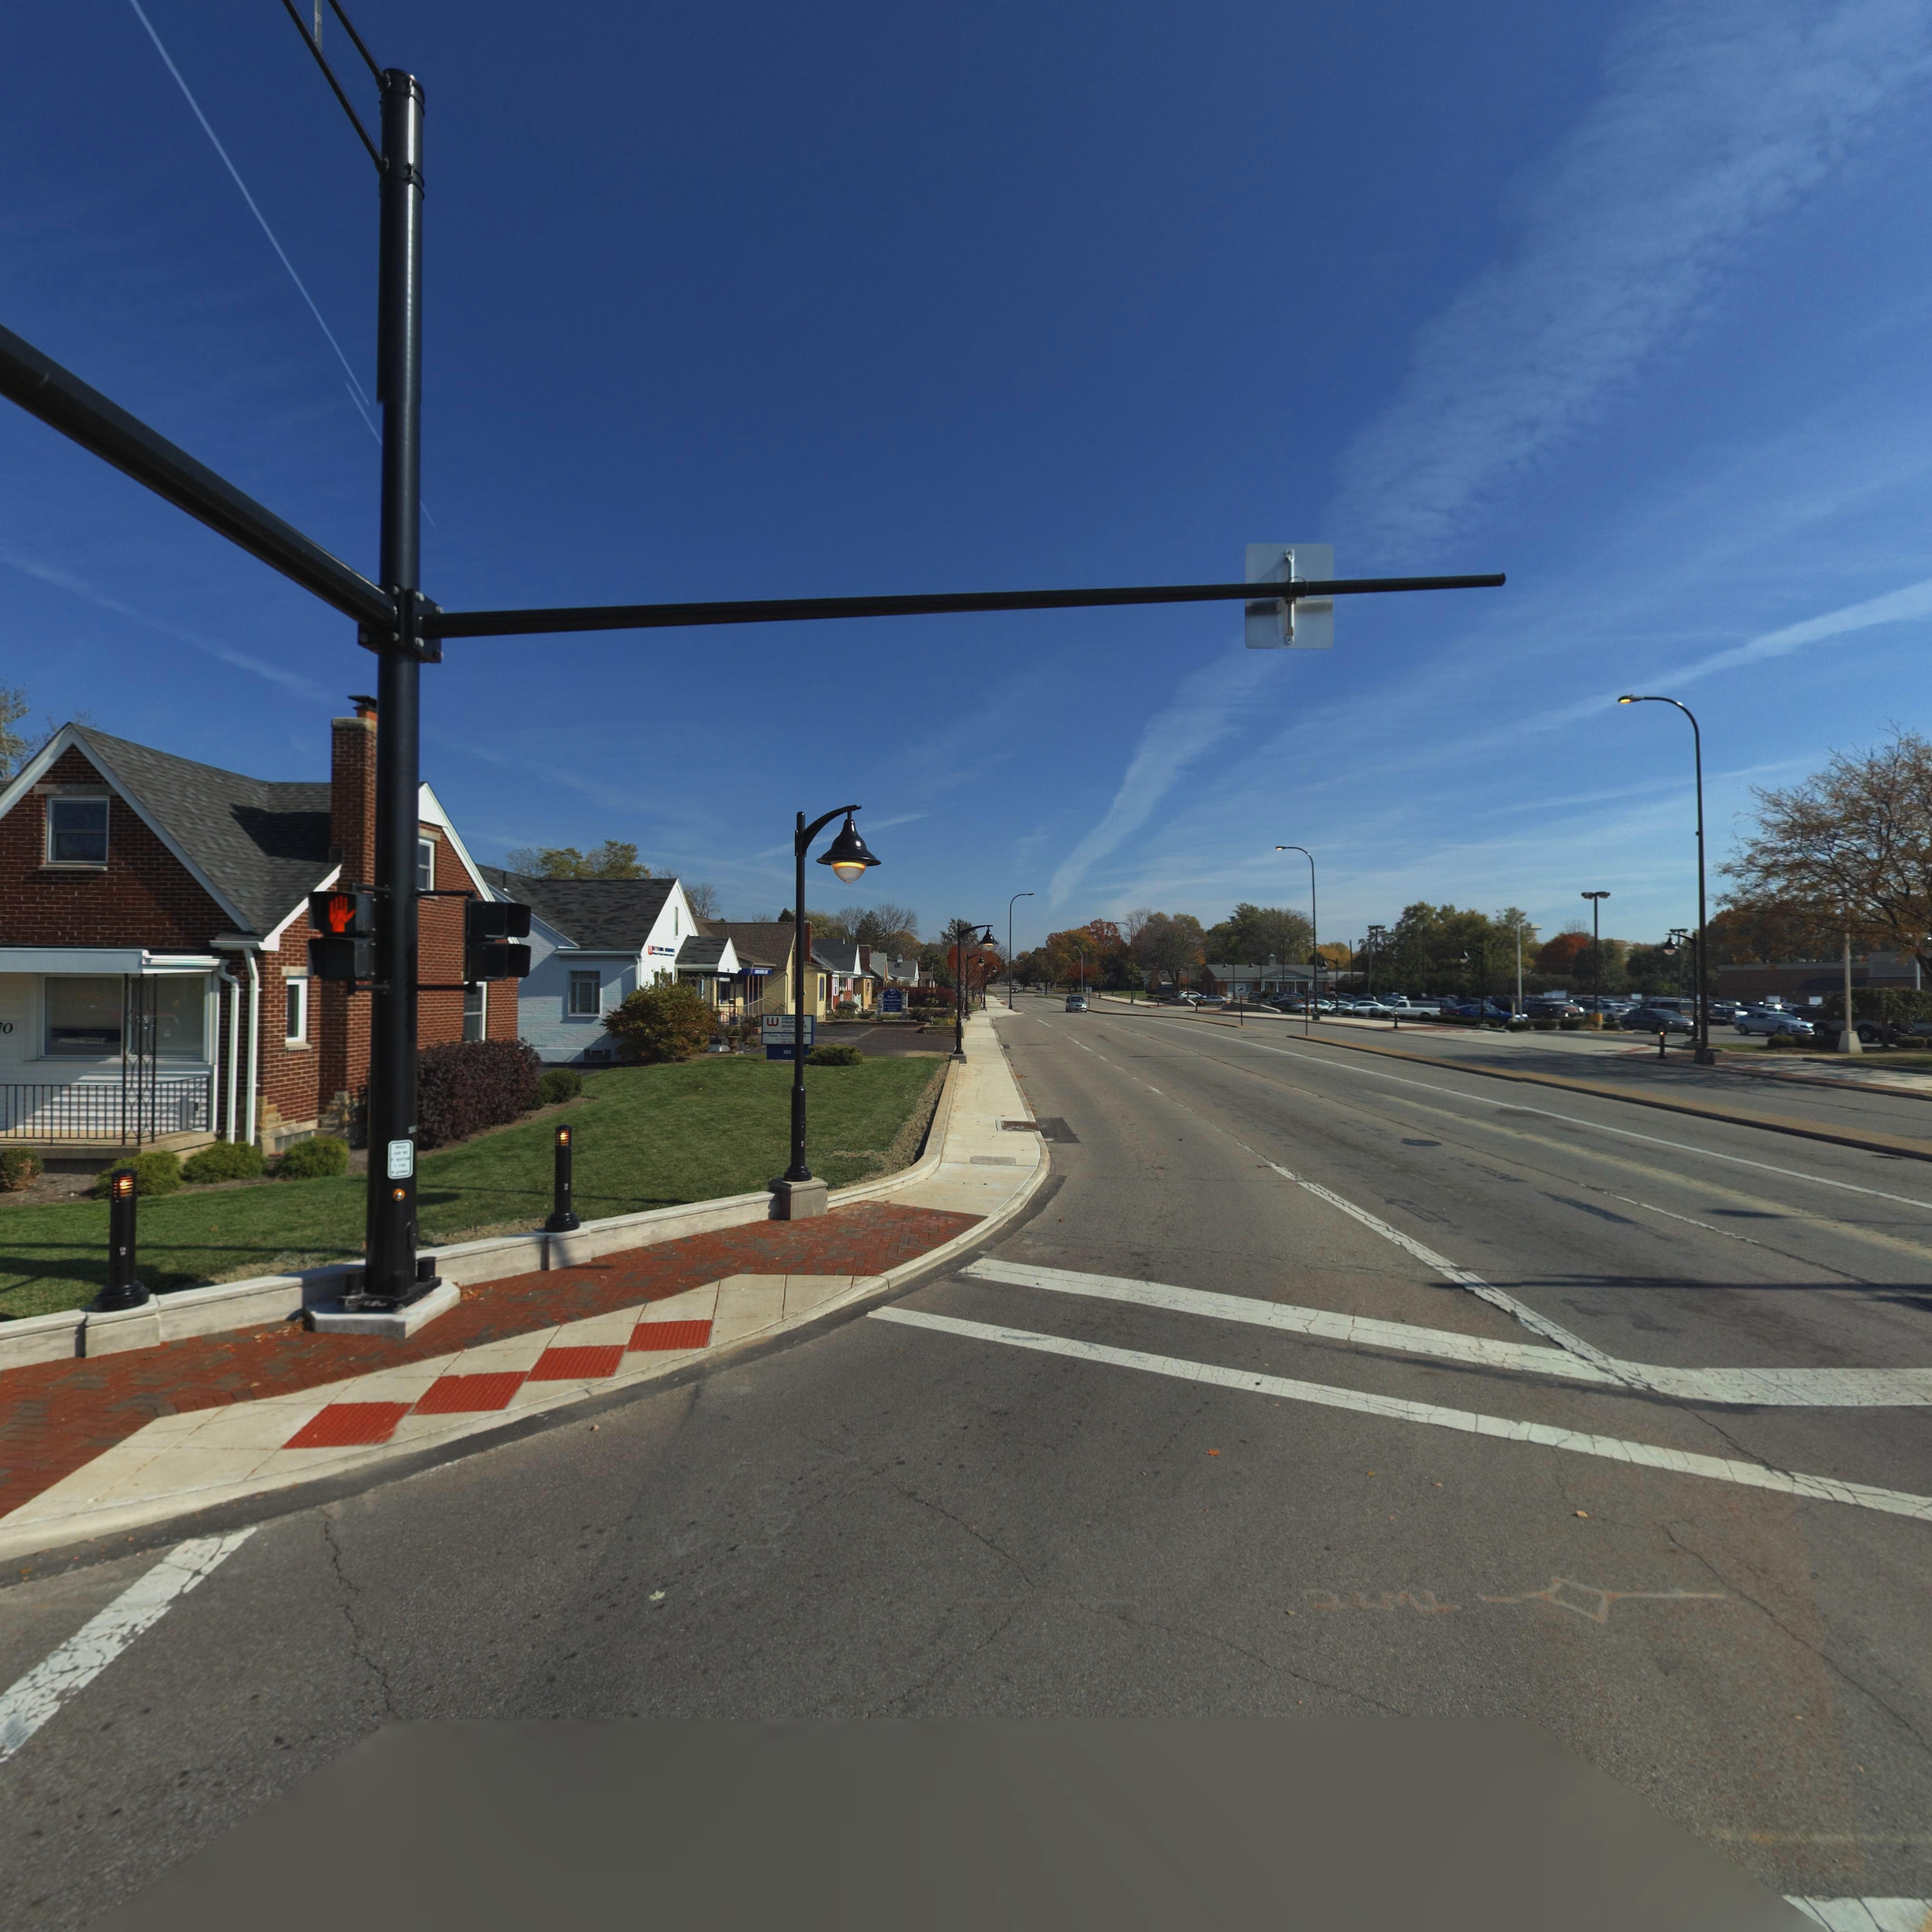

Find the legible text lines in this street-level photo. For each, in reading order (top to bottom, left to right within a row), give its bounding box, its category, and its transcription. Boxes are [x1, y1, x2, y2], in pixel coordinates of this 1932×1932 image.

[1, 1022, 14, 1035] StreetNumber: 0
[766, 1017, 779, 1027] None: w
[782, 1020, 794, 1024] BusinessName: InsuR
[781, 1024, 796, 1028] BusinessName: aGenc
[56, 1037, 107, 1044] None: PROGRESSIVE
[783, 1050, 792, 1055] StreetNumber: 505